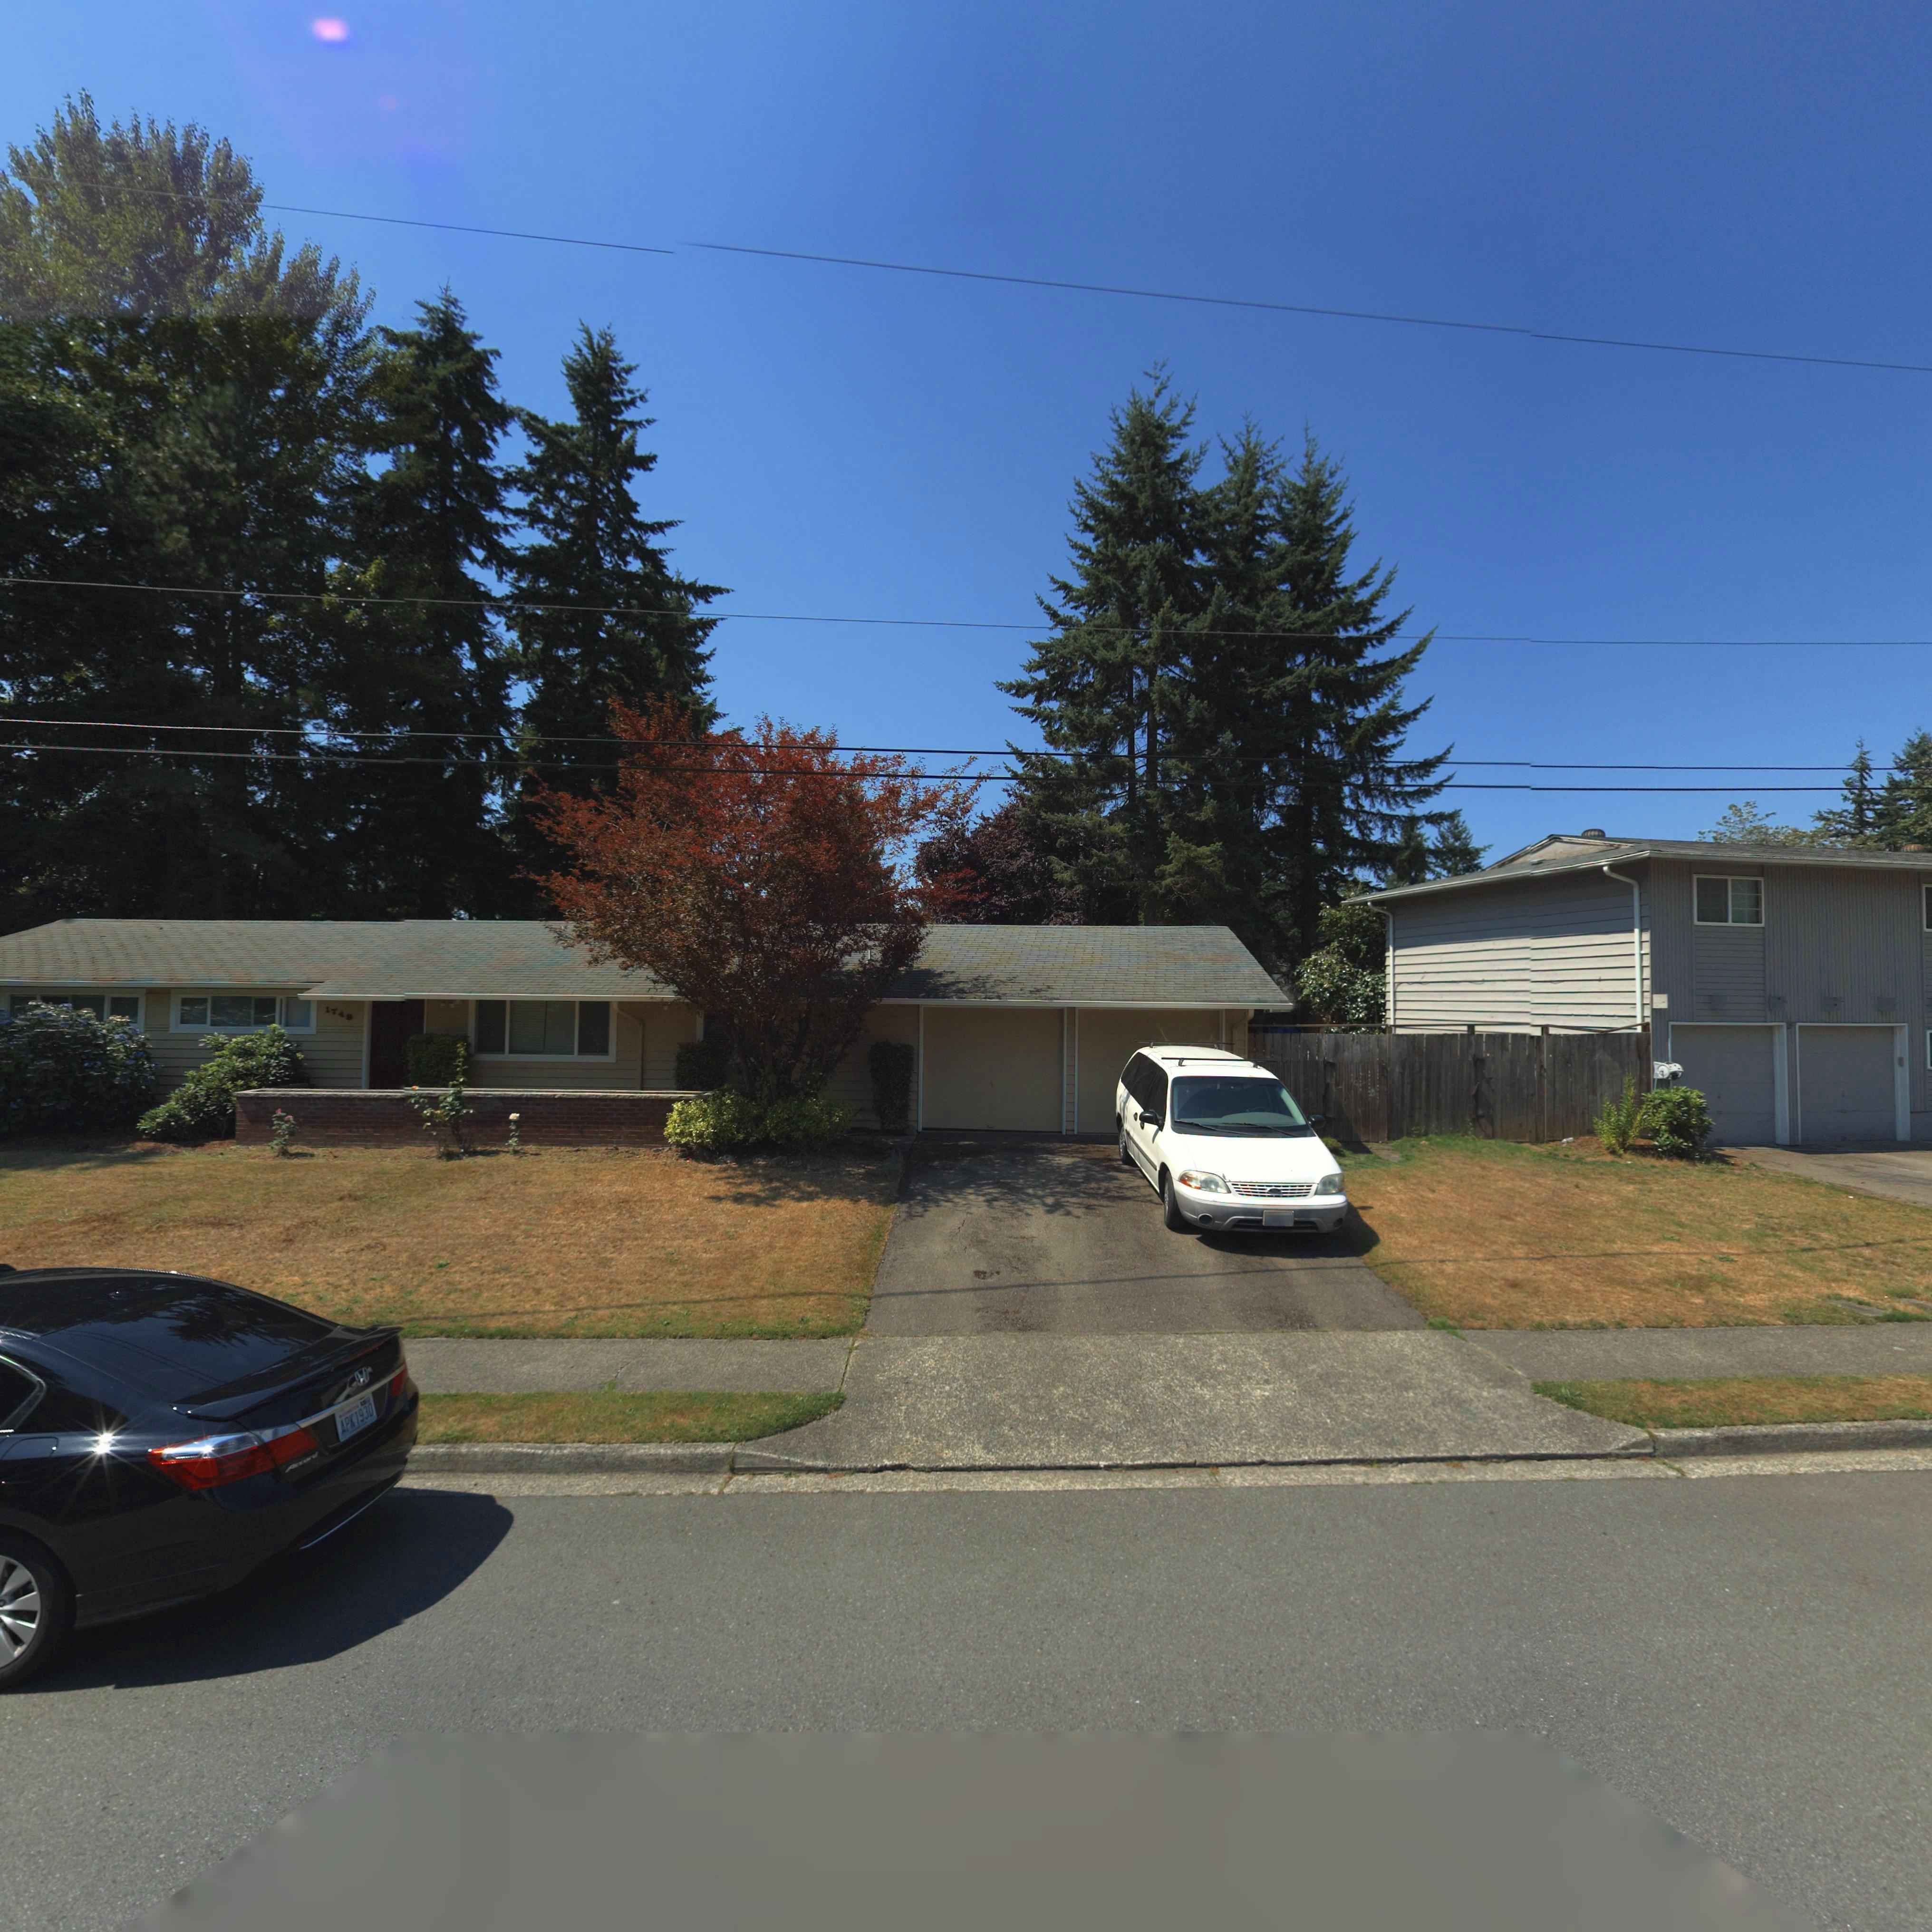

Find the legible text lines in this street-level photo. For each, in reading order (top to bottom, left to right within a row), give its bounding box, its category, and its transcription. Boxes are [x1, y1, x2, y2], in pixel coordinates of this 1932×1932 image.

[325, 1006, 355, 1021] StreetNumber: 1749